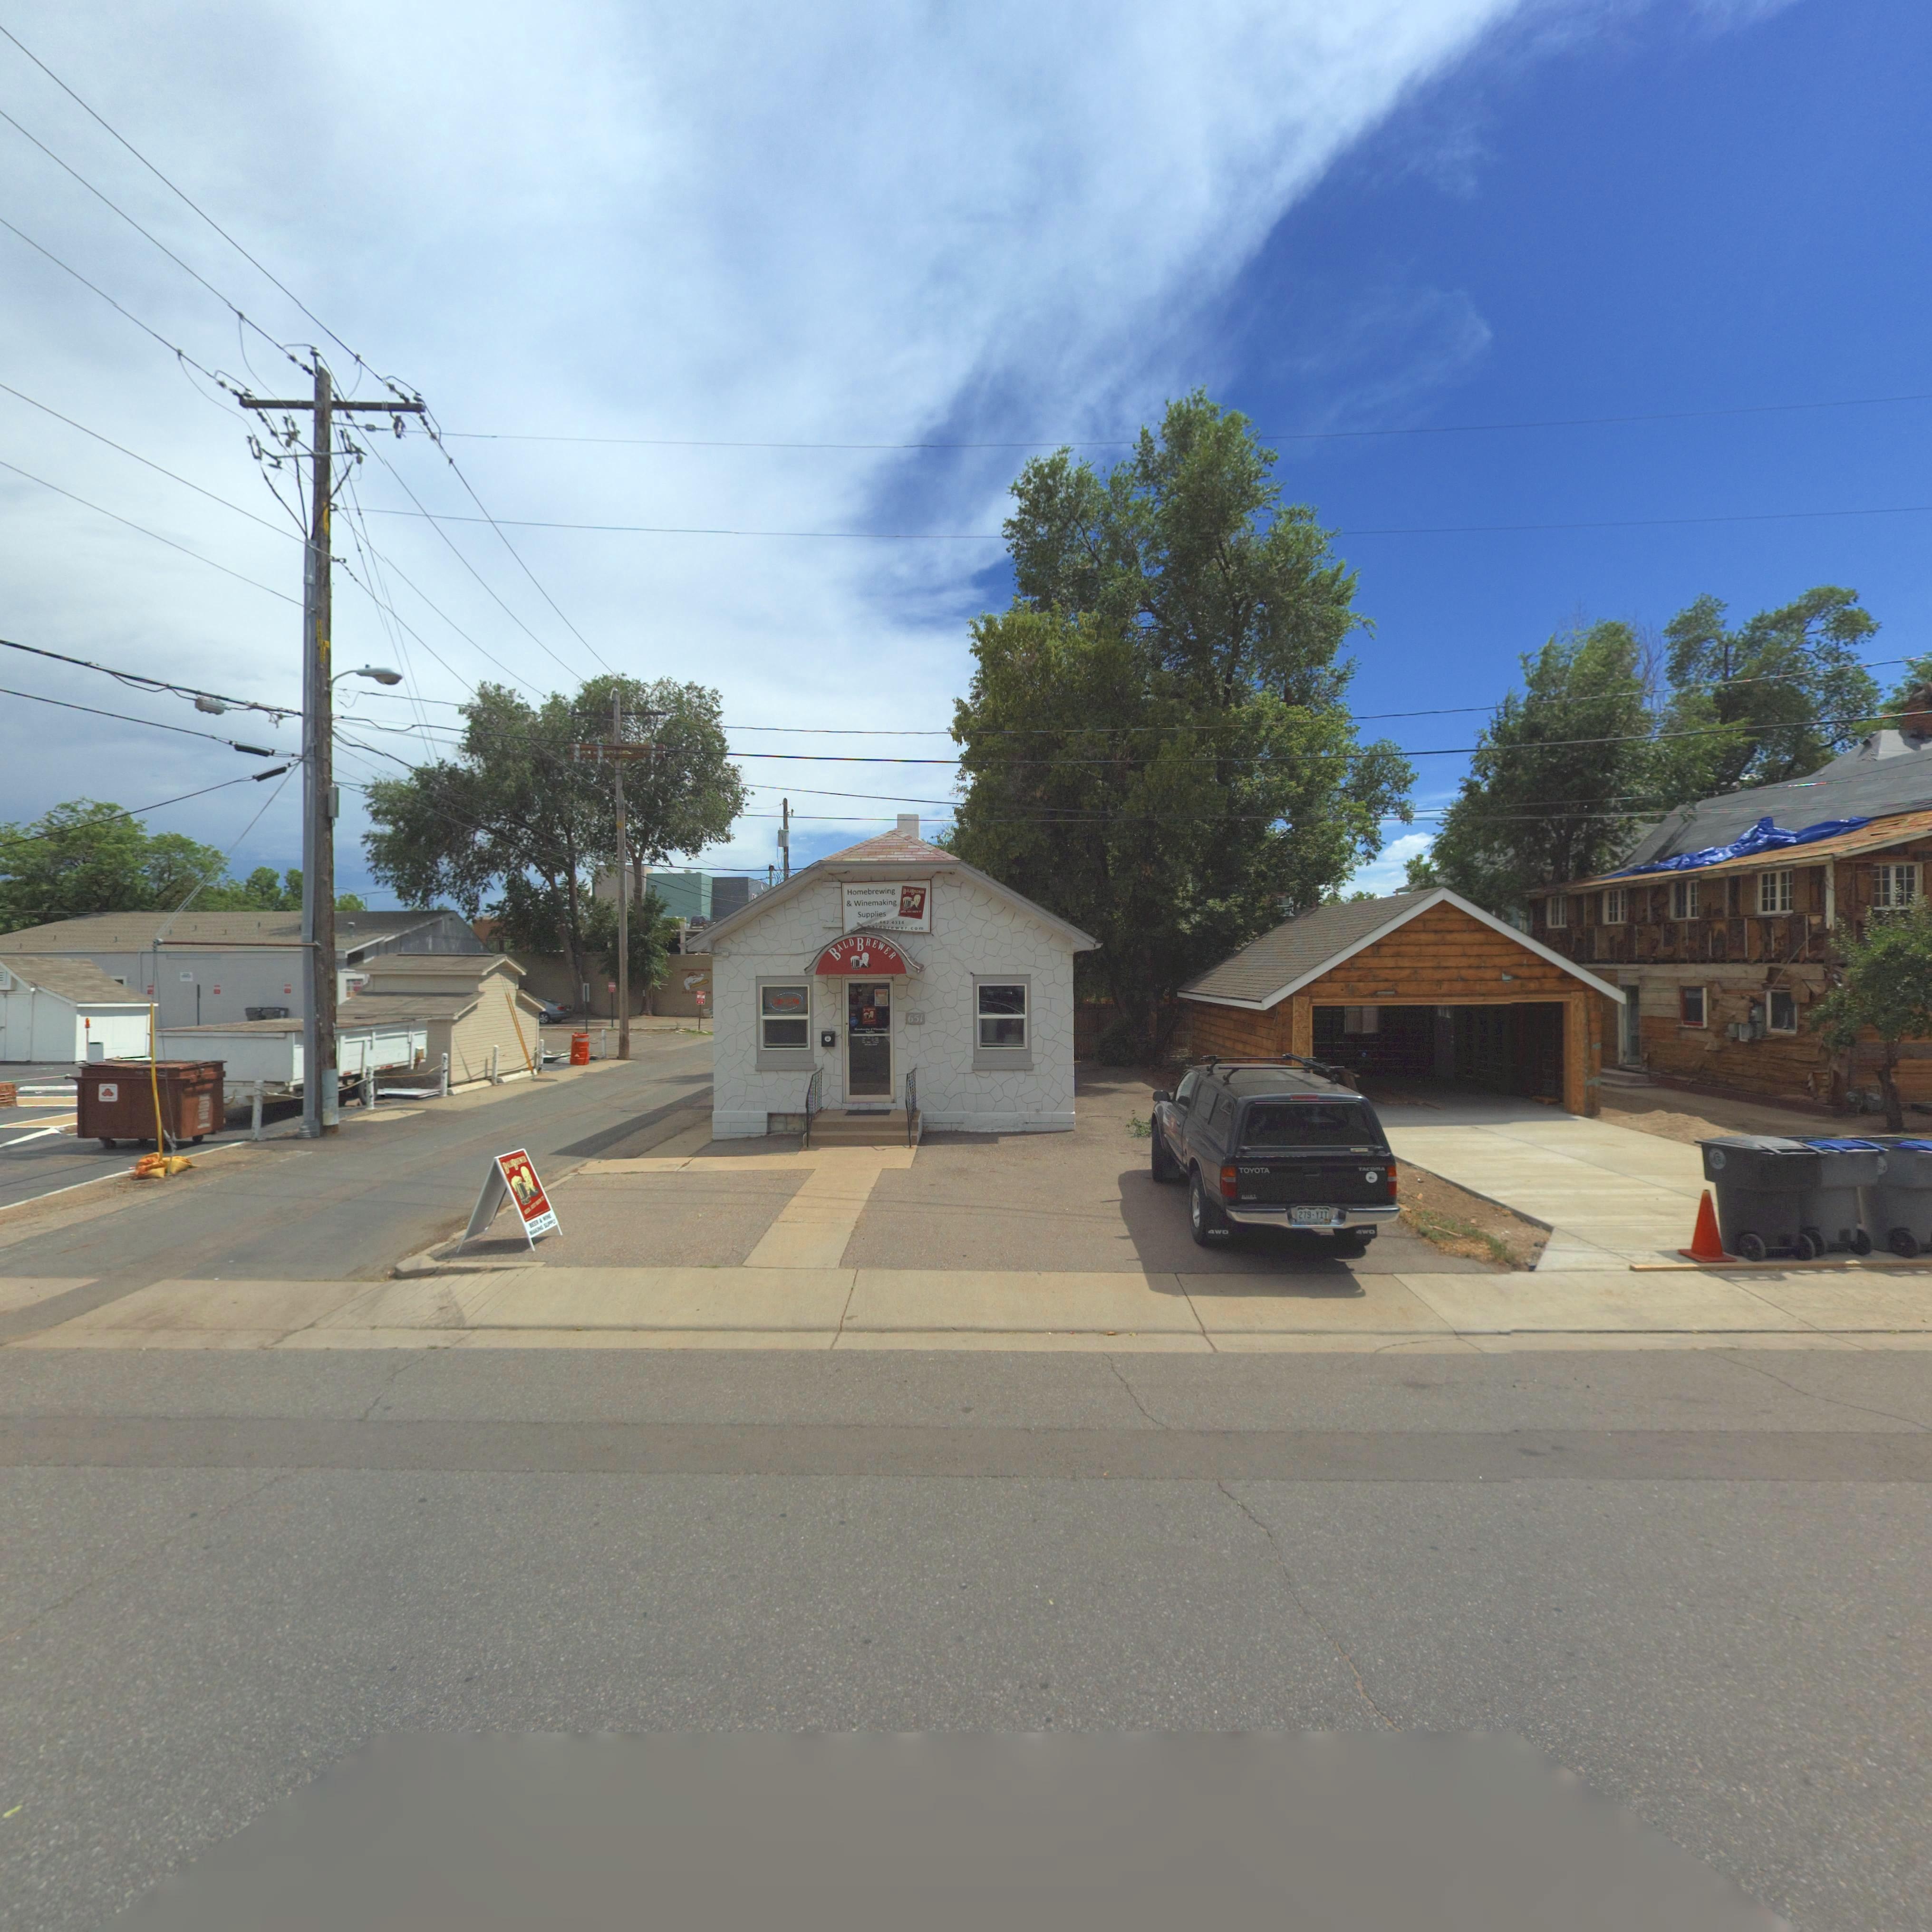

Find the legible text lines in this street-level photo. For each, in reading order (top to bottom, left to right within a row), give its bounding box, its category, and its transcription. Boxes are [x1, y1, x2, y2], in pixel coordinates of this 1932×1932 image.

[902, 887, 925, 896] BusinessName: BALD BREWER
[826, 936, 897, 962] BusinessName: BALD BREWER
[907, 1013, 923, 1024] StreetNumber: 651
[500, 1154, 528, 1175] BusinessName: BALD BREWER